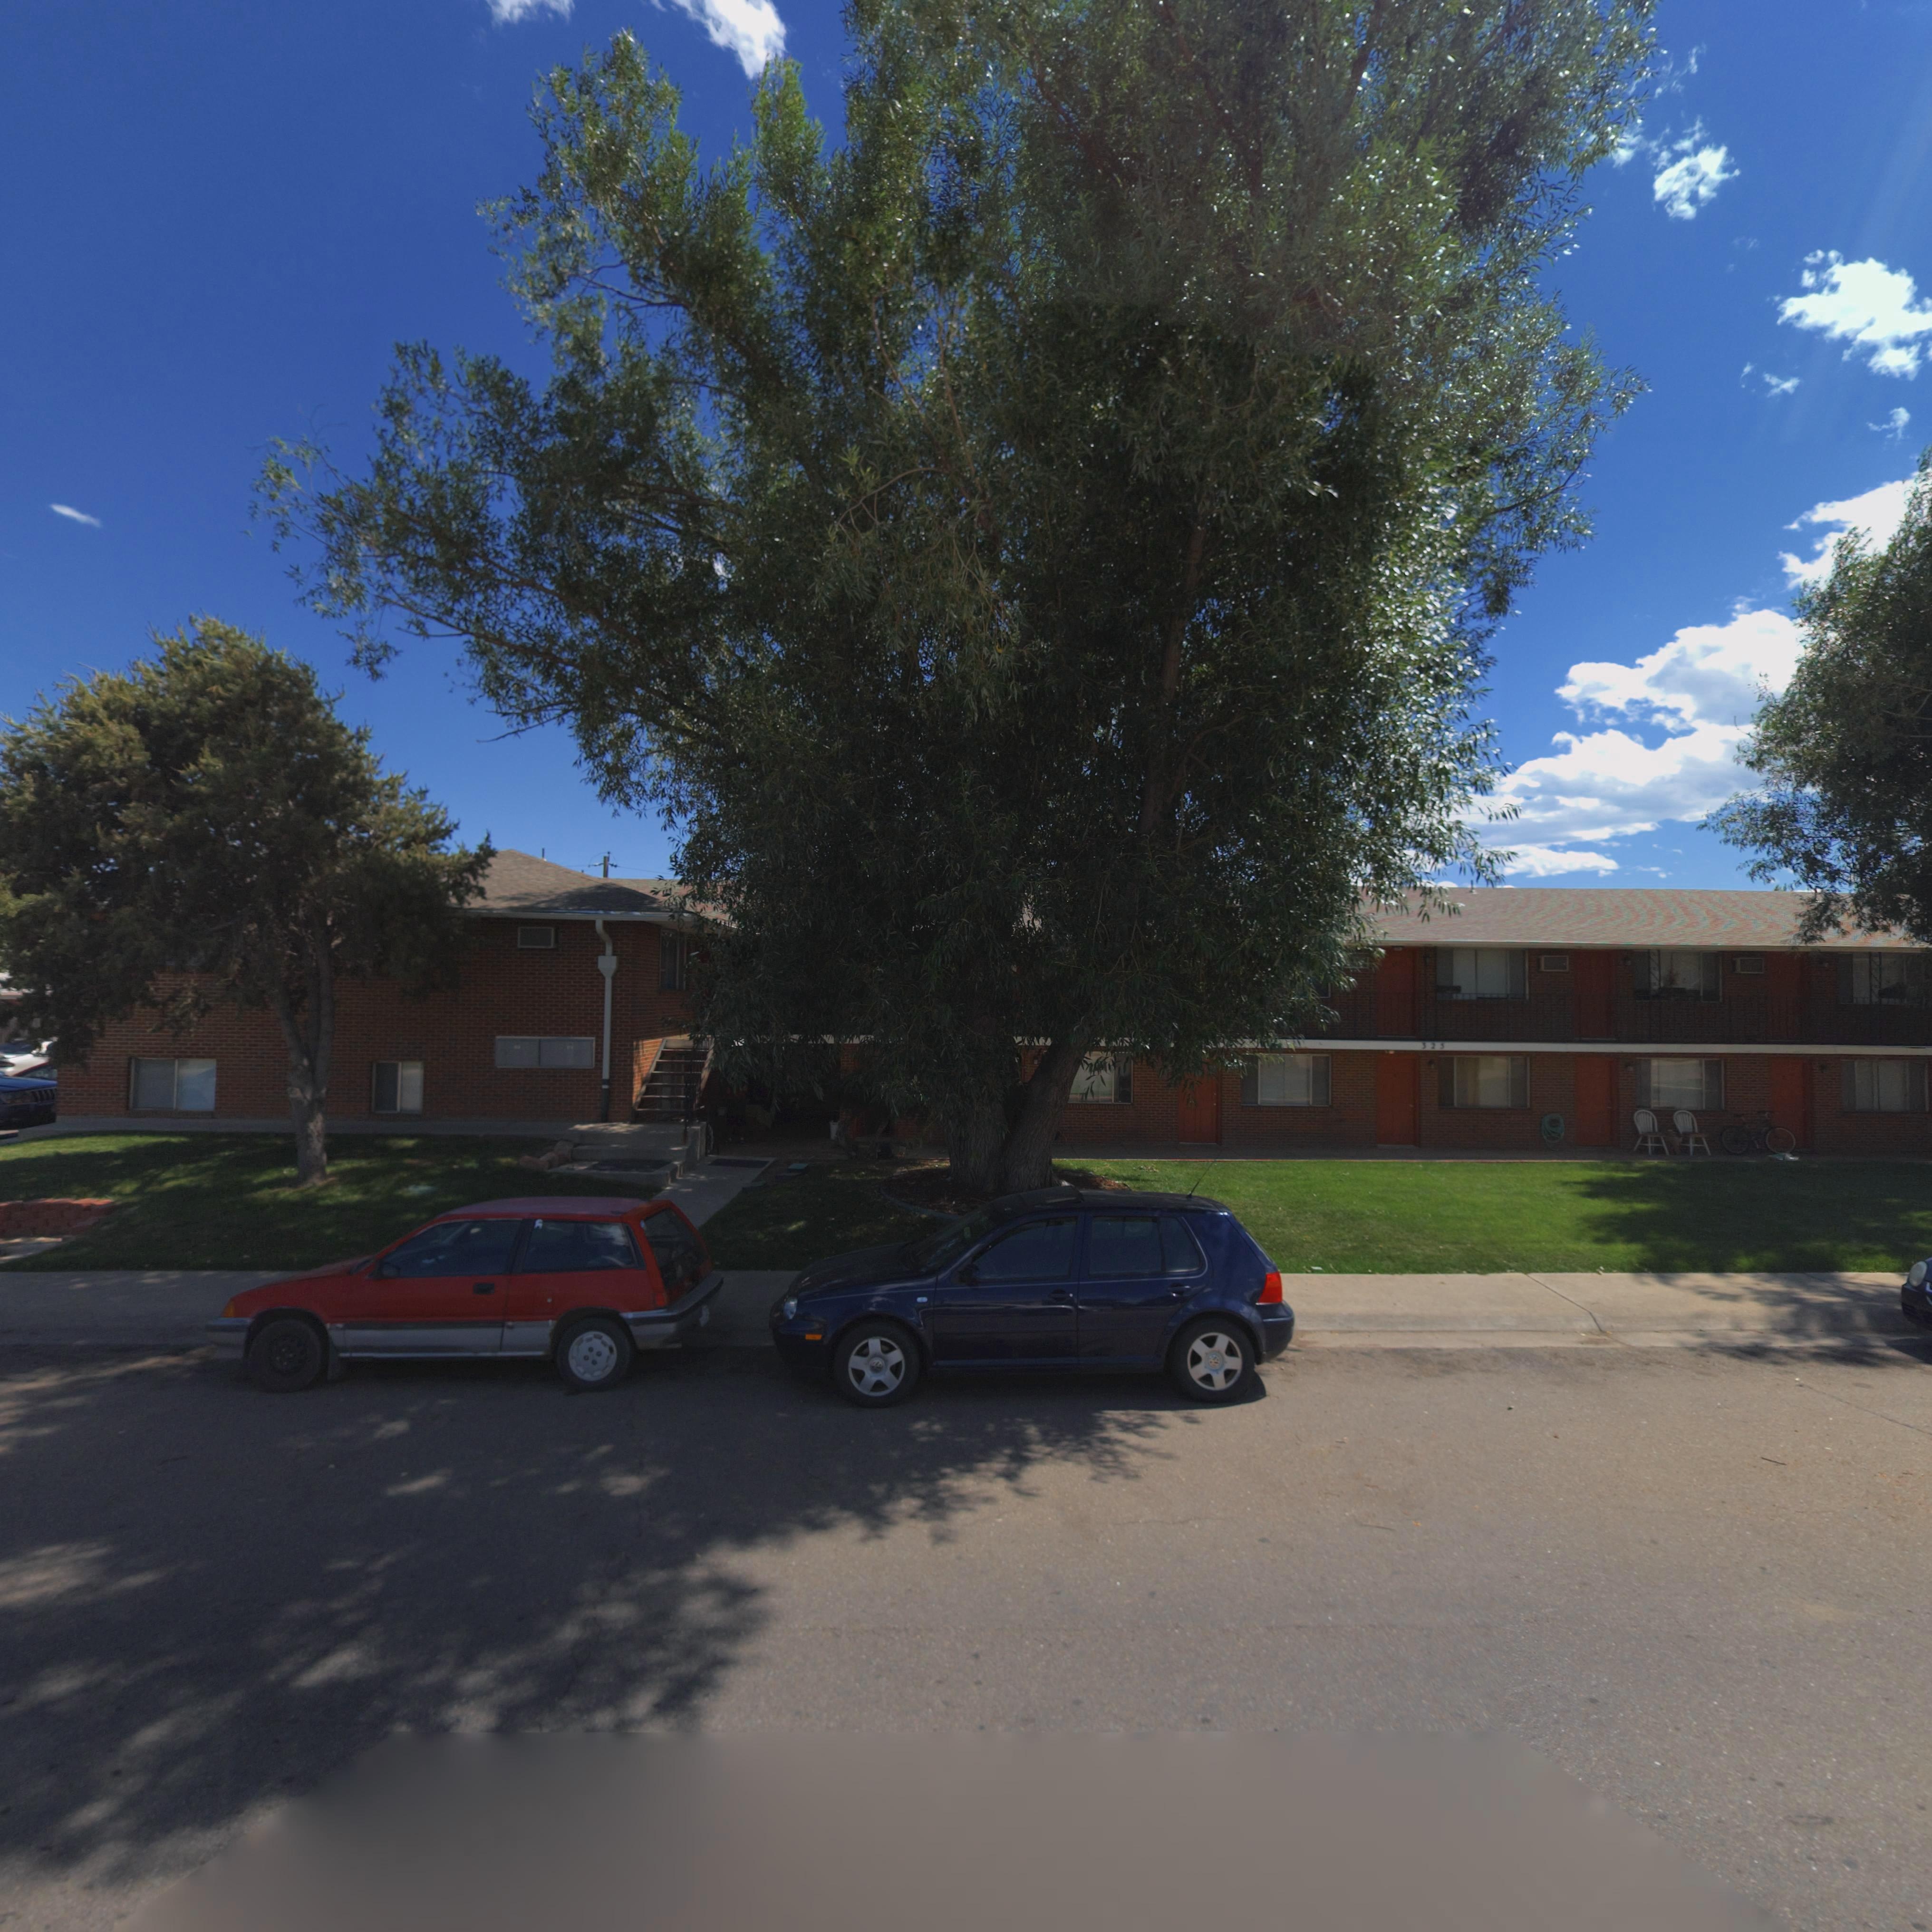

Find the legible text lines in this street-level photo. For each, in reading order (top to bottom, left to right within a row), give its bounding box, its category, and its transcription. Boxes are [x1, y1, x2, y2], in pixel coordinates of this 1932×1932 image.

[1421, 1041, 1445, 1050] StreetNumber: 325